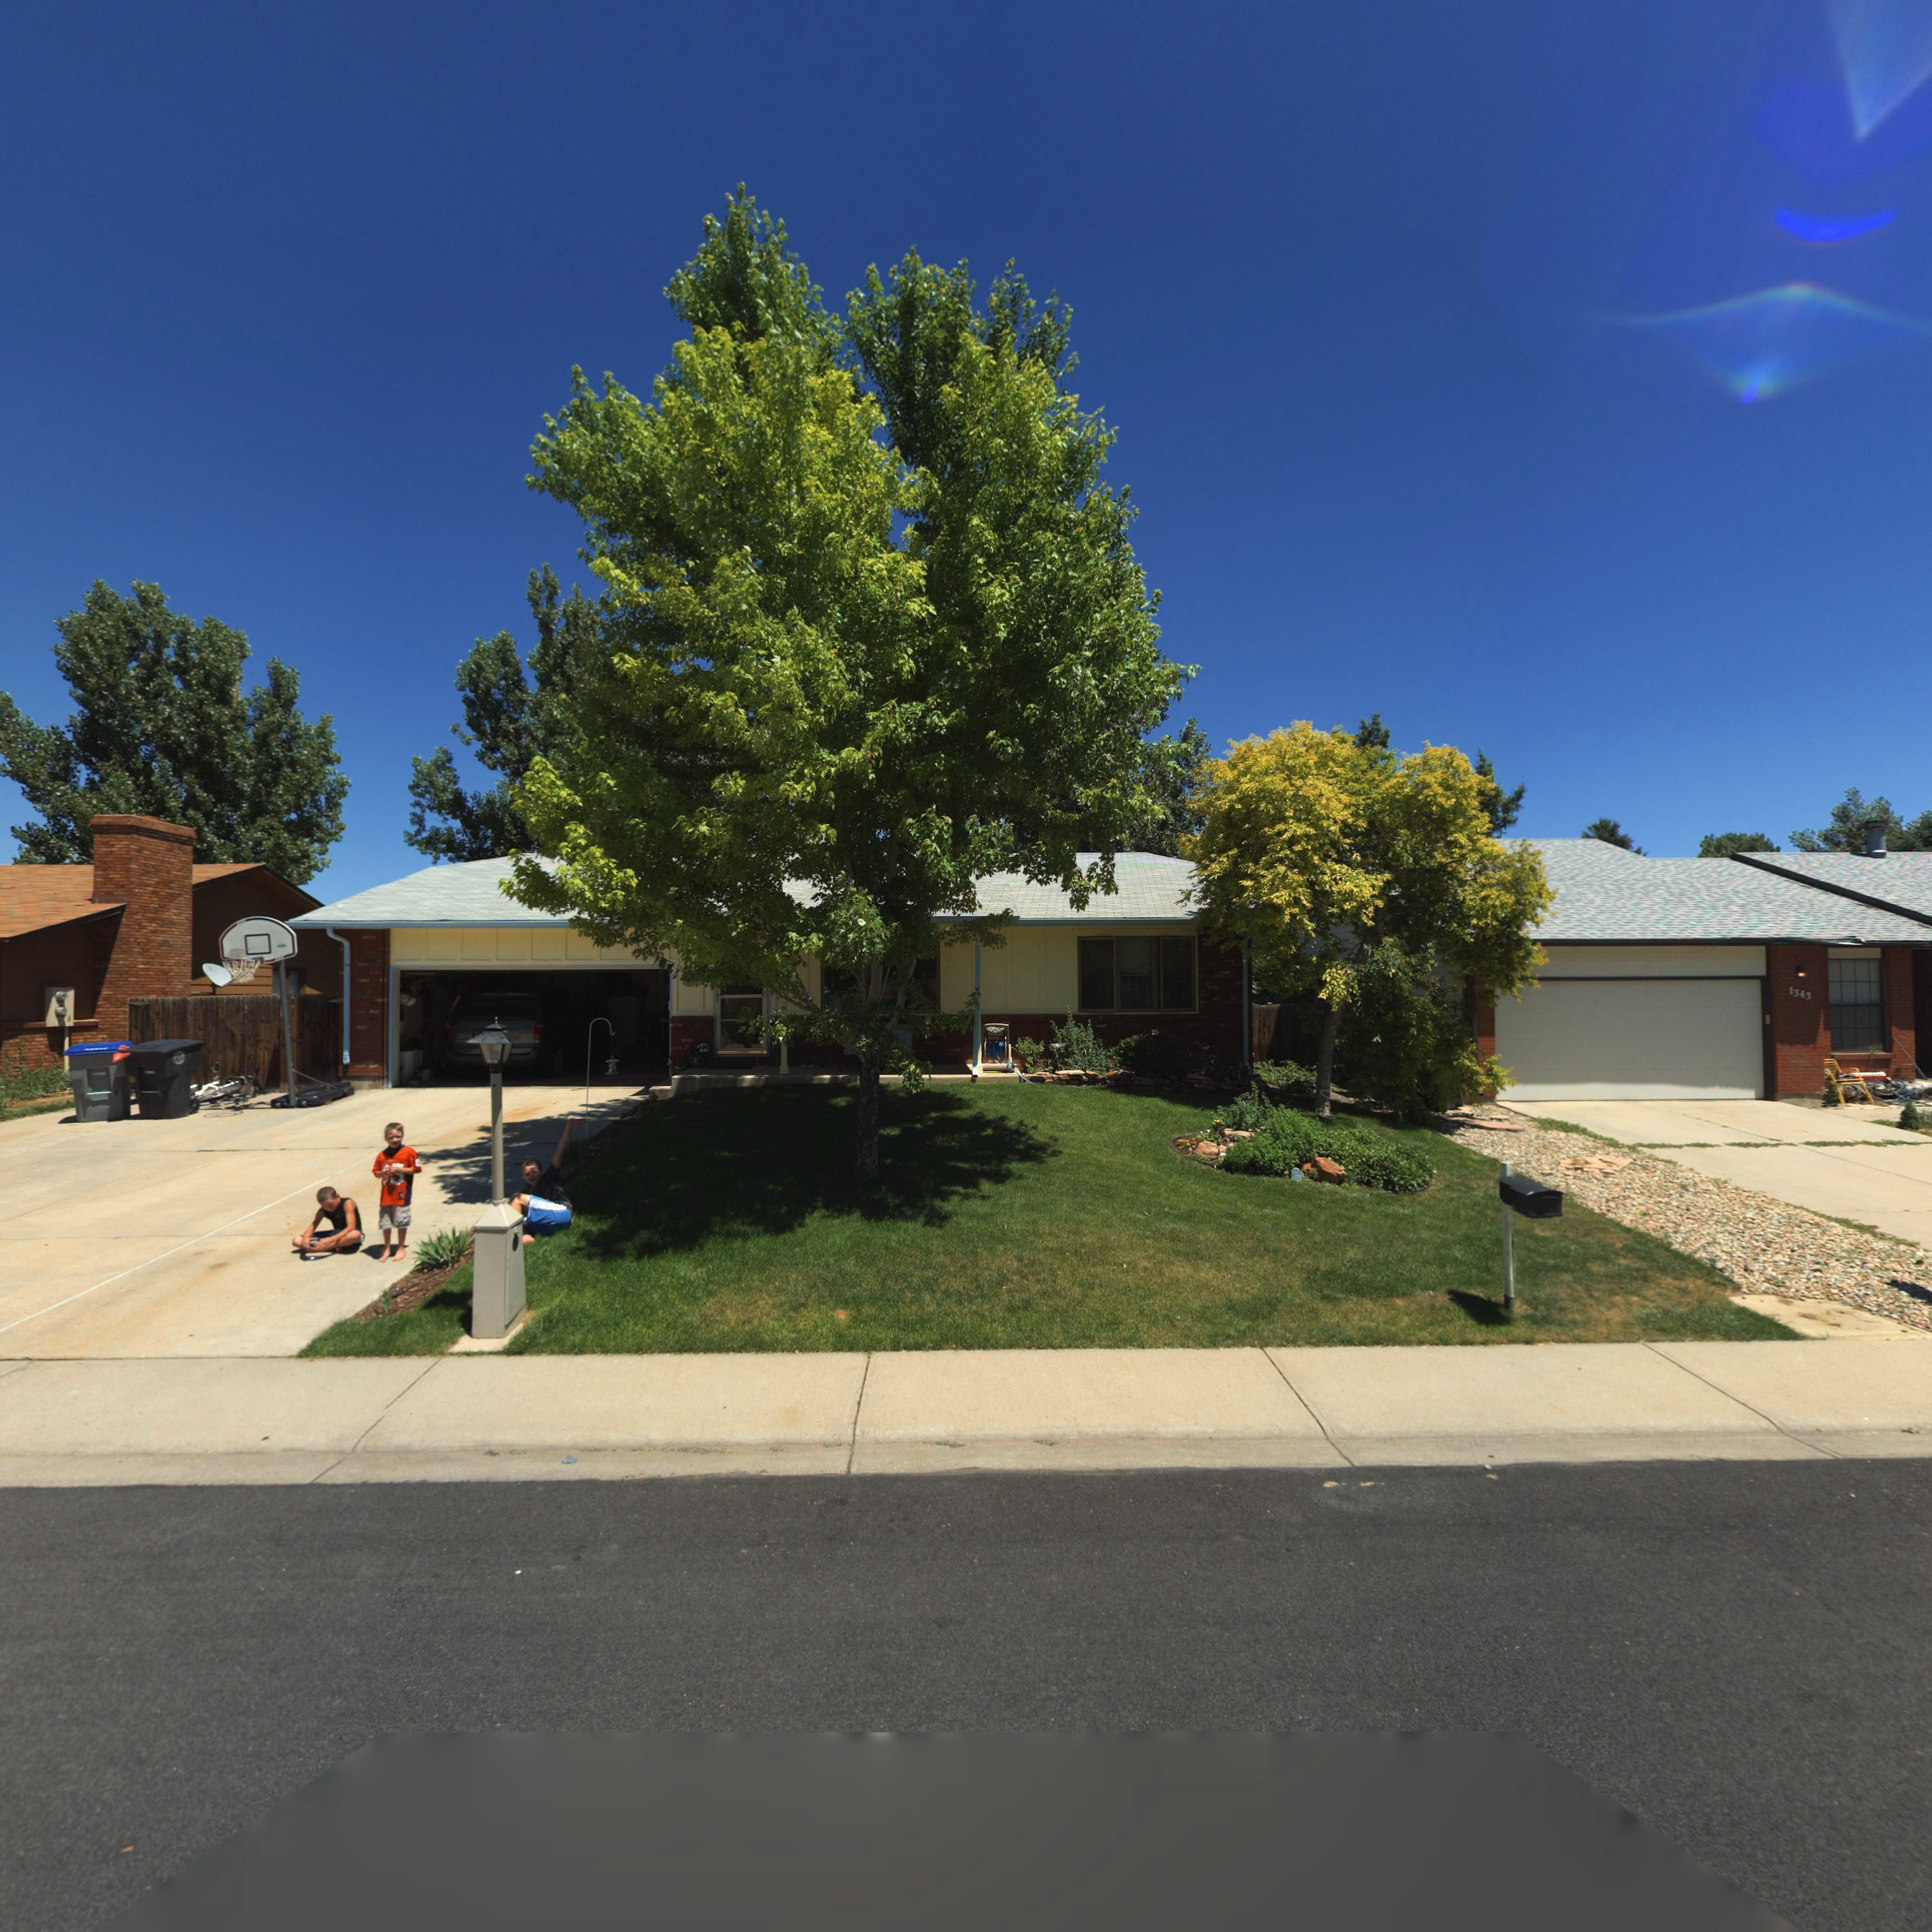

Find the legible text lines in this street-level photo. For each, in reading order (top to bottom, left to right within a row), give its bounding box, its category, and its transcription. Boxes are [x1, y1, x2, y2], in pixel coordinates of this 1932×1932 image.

[1788, 985, 1811, 1000] StreetNumber: 1343